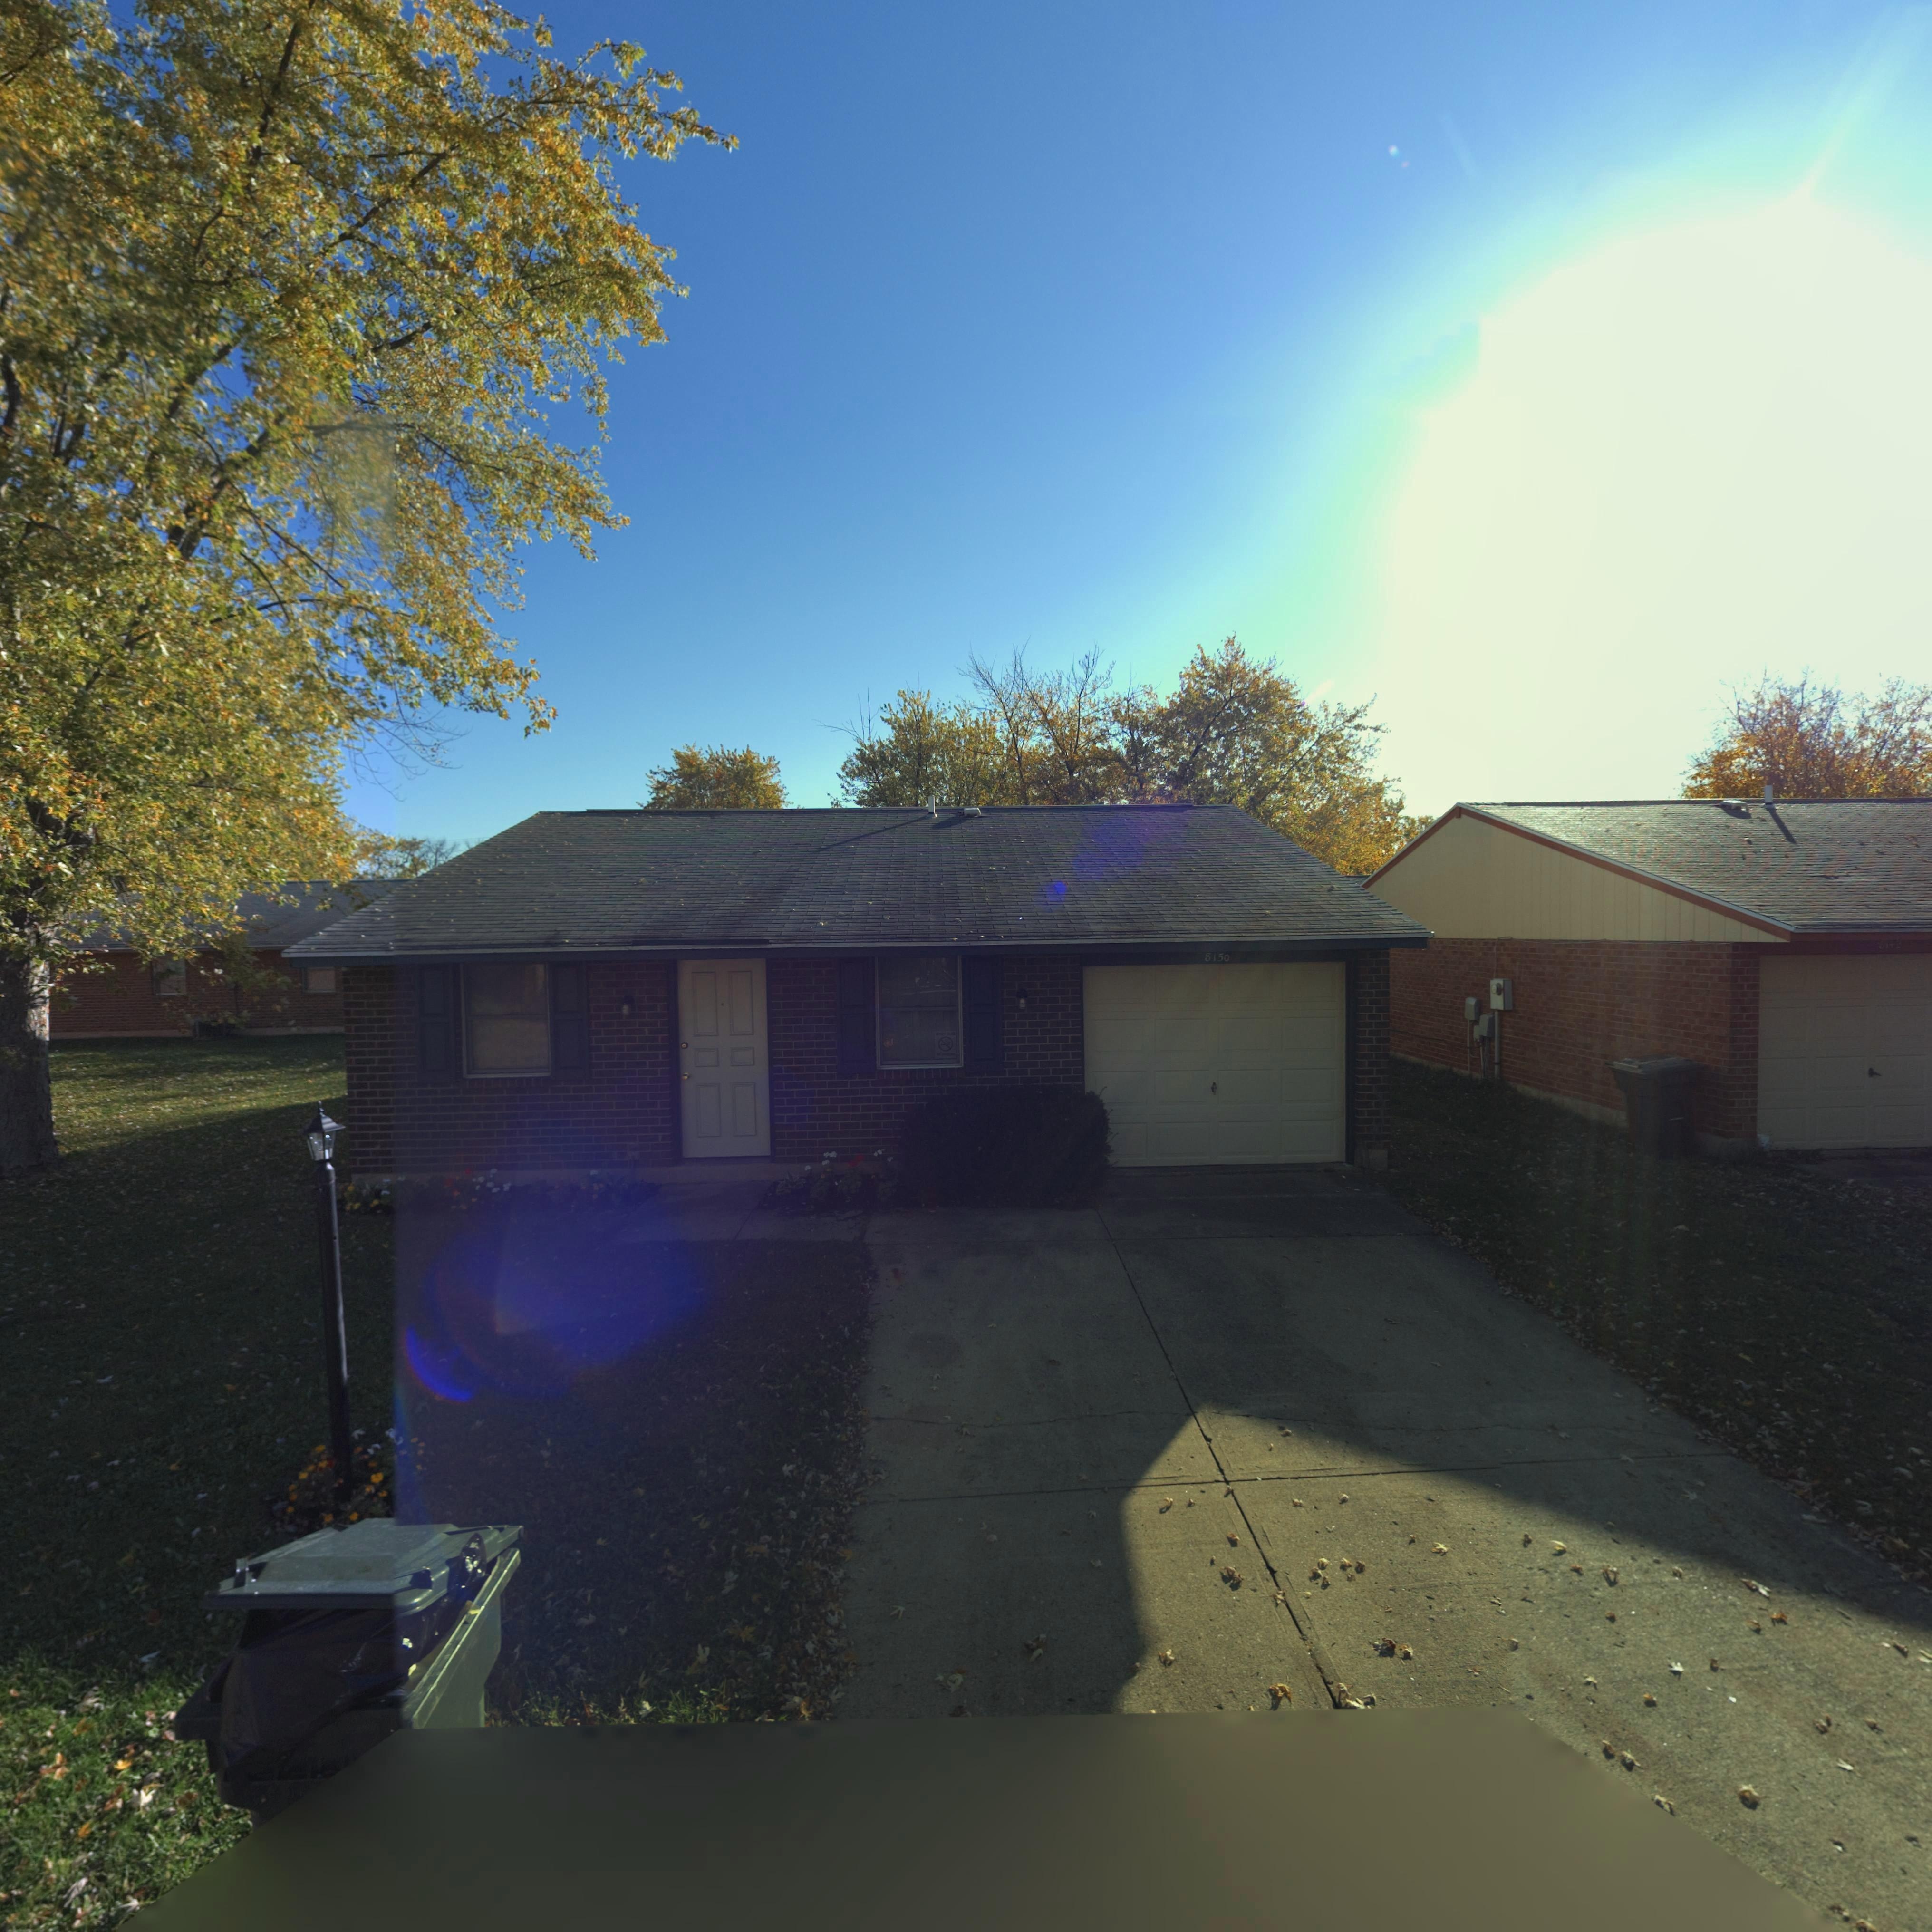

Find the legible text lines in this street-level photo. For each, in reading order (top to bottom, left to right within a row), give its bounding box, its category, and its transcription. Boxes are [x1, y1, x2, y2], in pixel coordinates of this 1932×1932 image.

[1203, 952, 1231, 963] StreetNumber: 8150